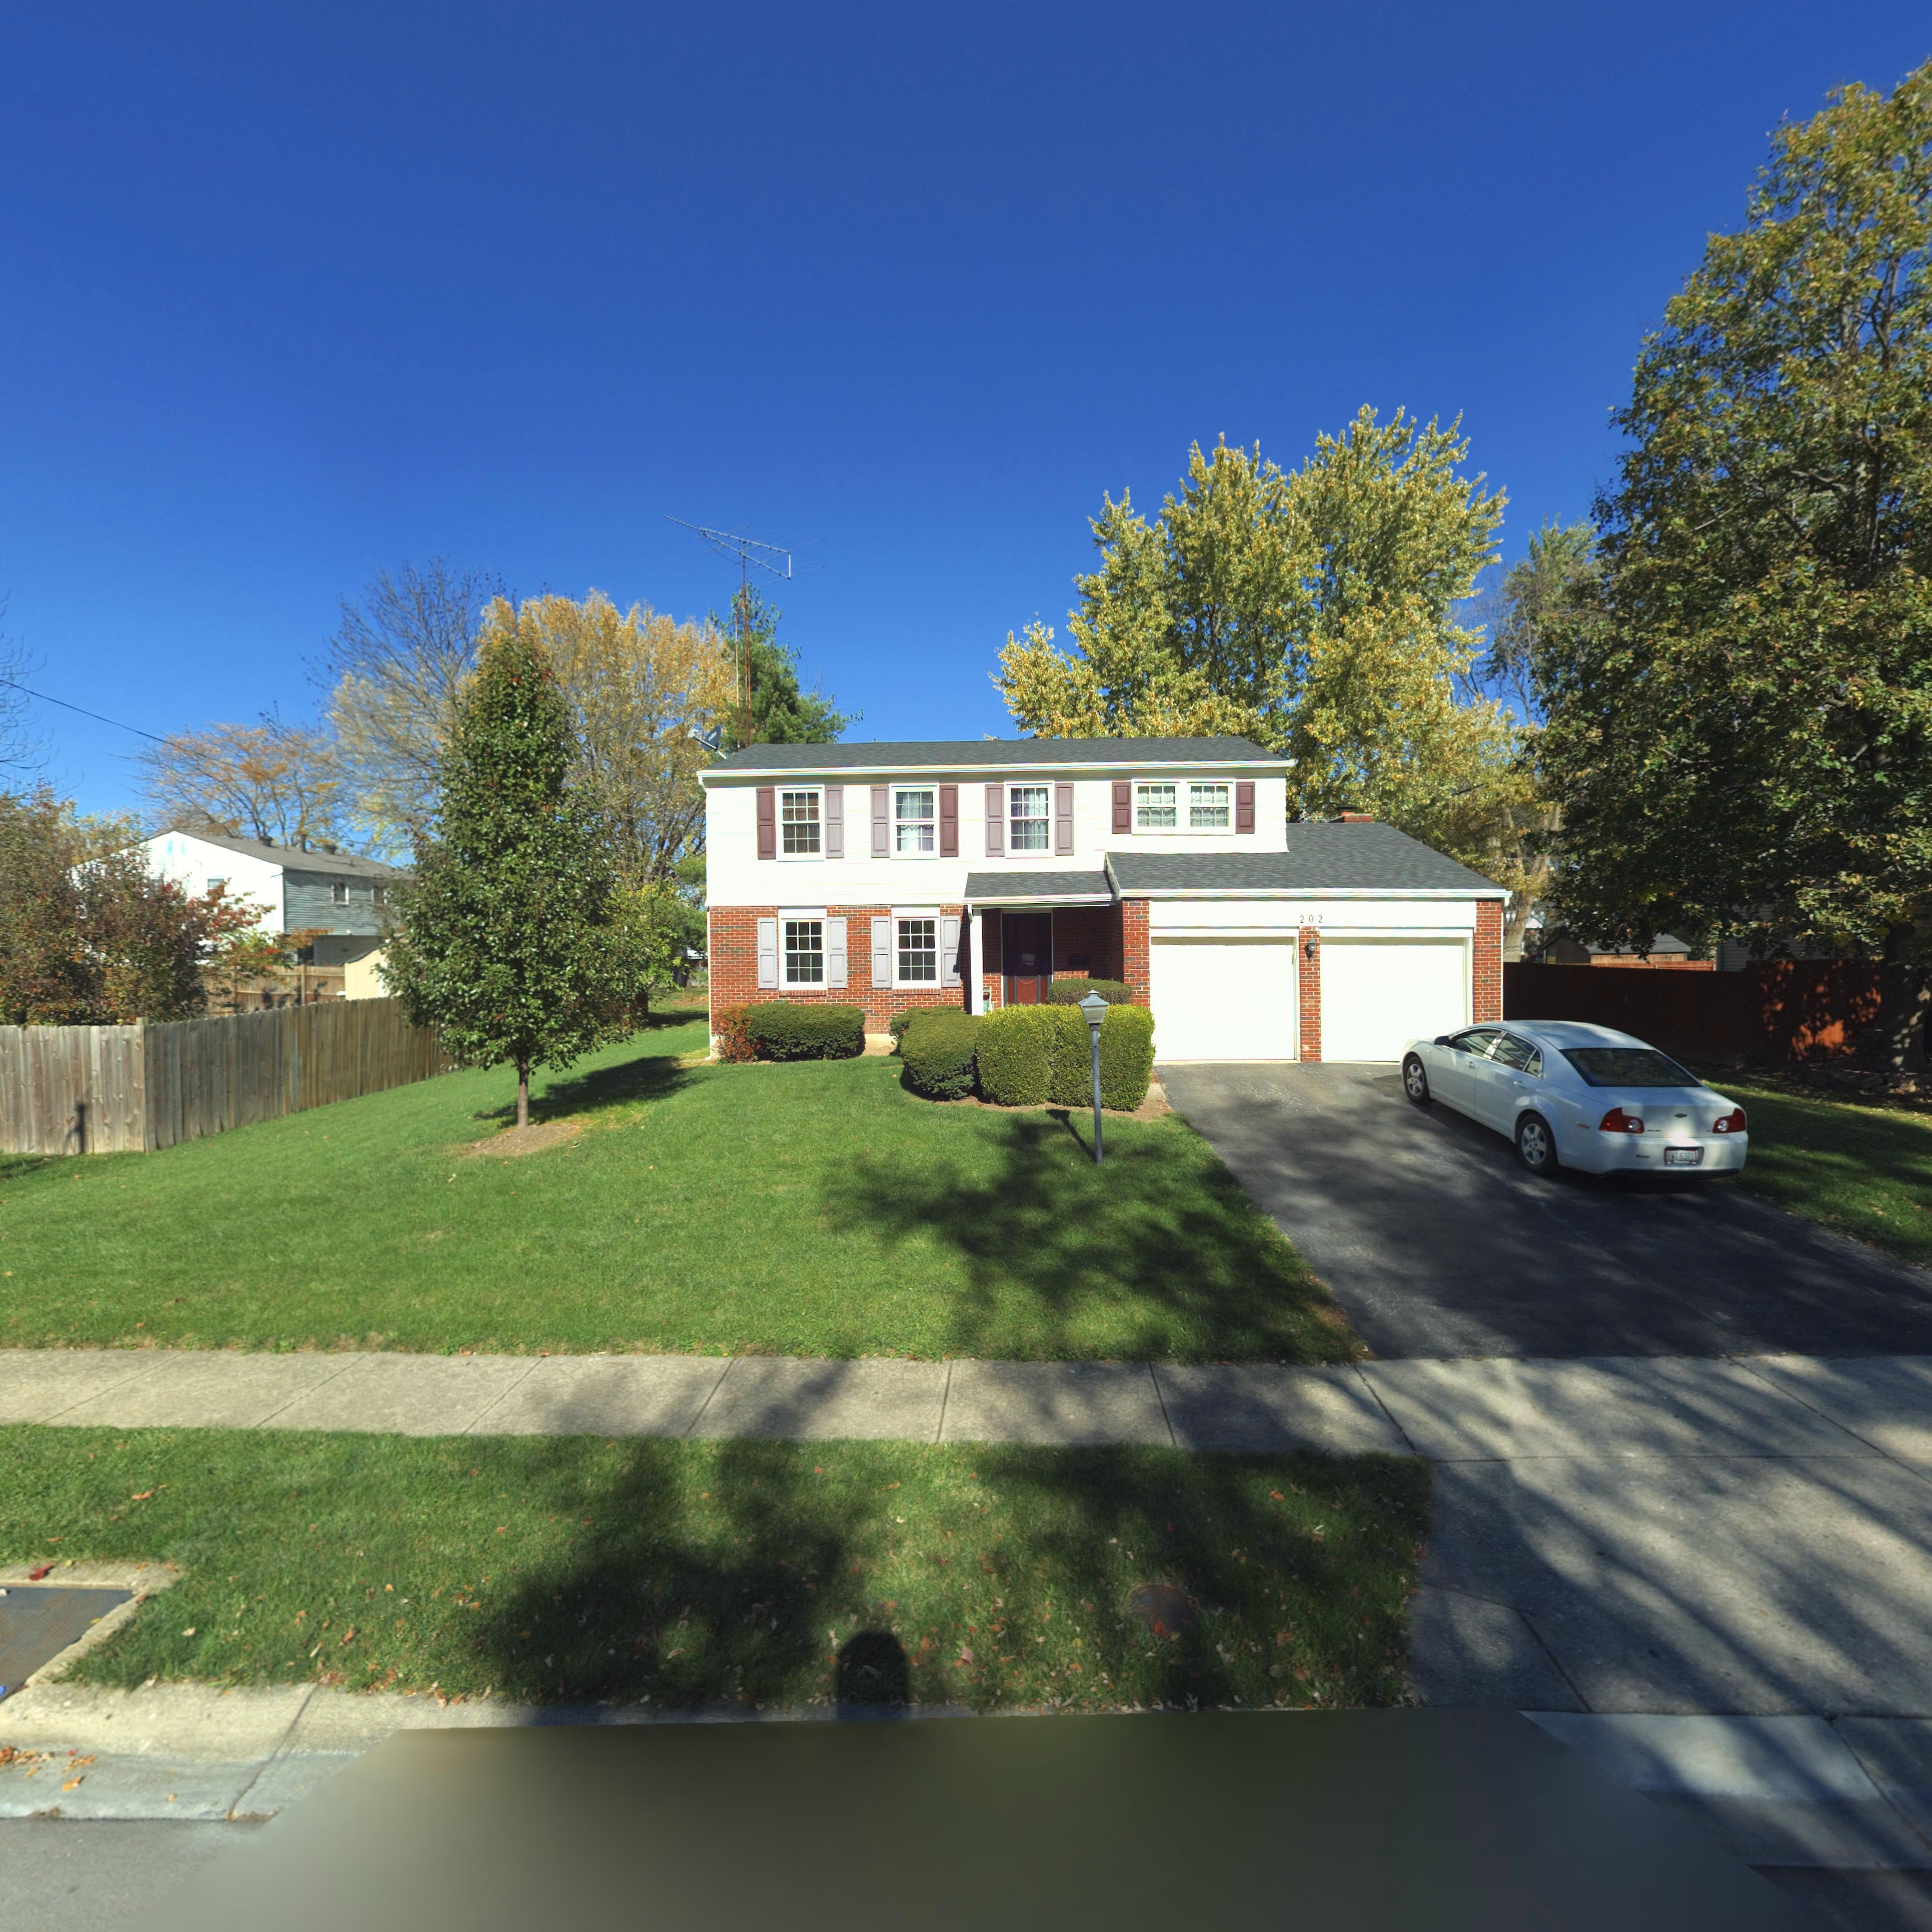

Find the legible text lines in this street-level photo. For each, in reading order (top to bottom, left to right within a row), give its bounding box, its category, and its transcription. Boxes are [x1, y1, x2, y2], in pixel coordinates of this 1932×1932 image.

[1299, 914, 1323, 924] StreetNumber: 202